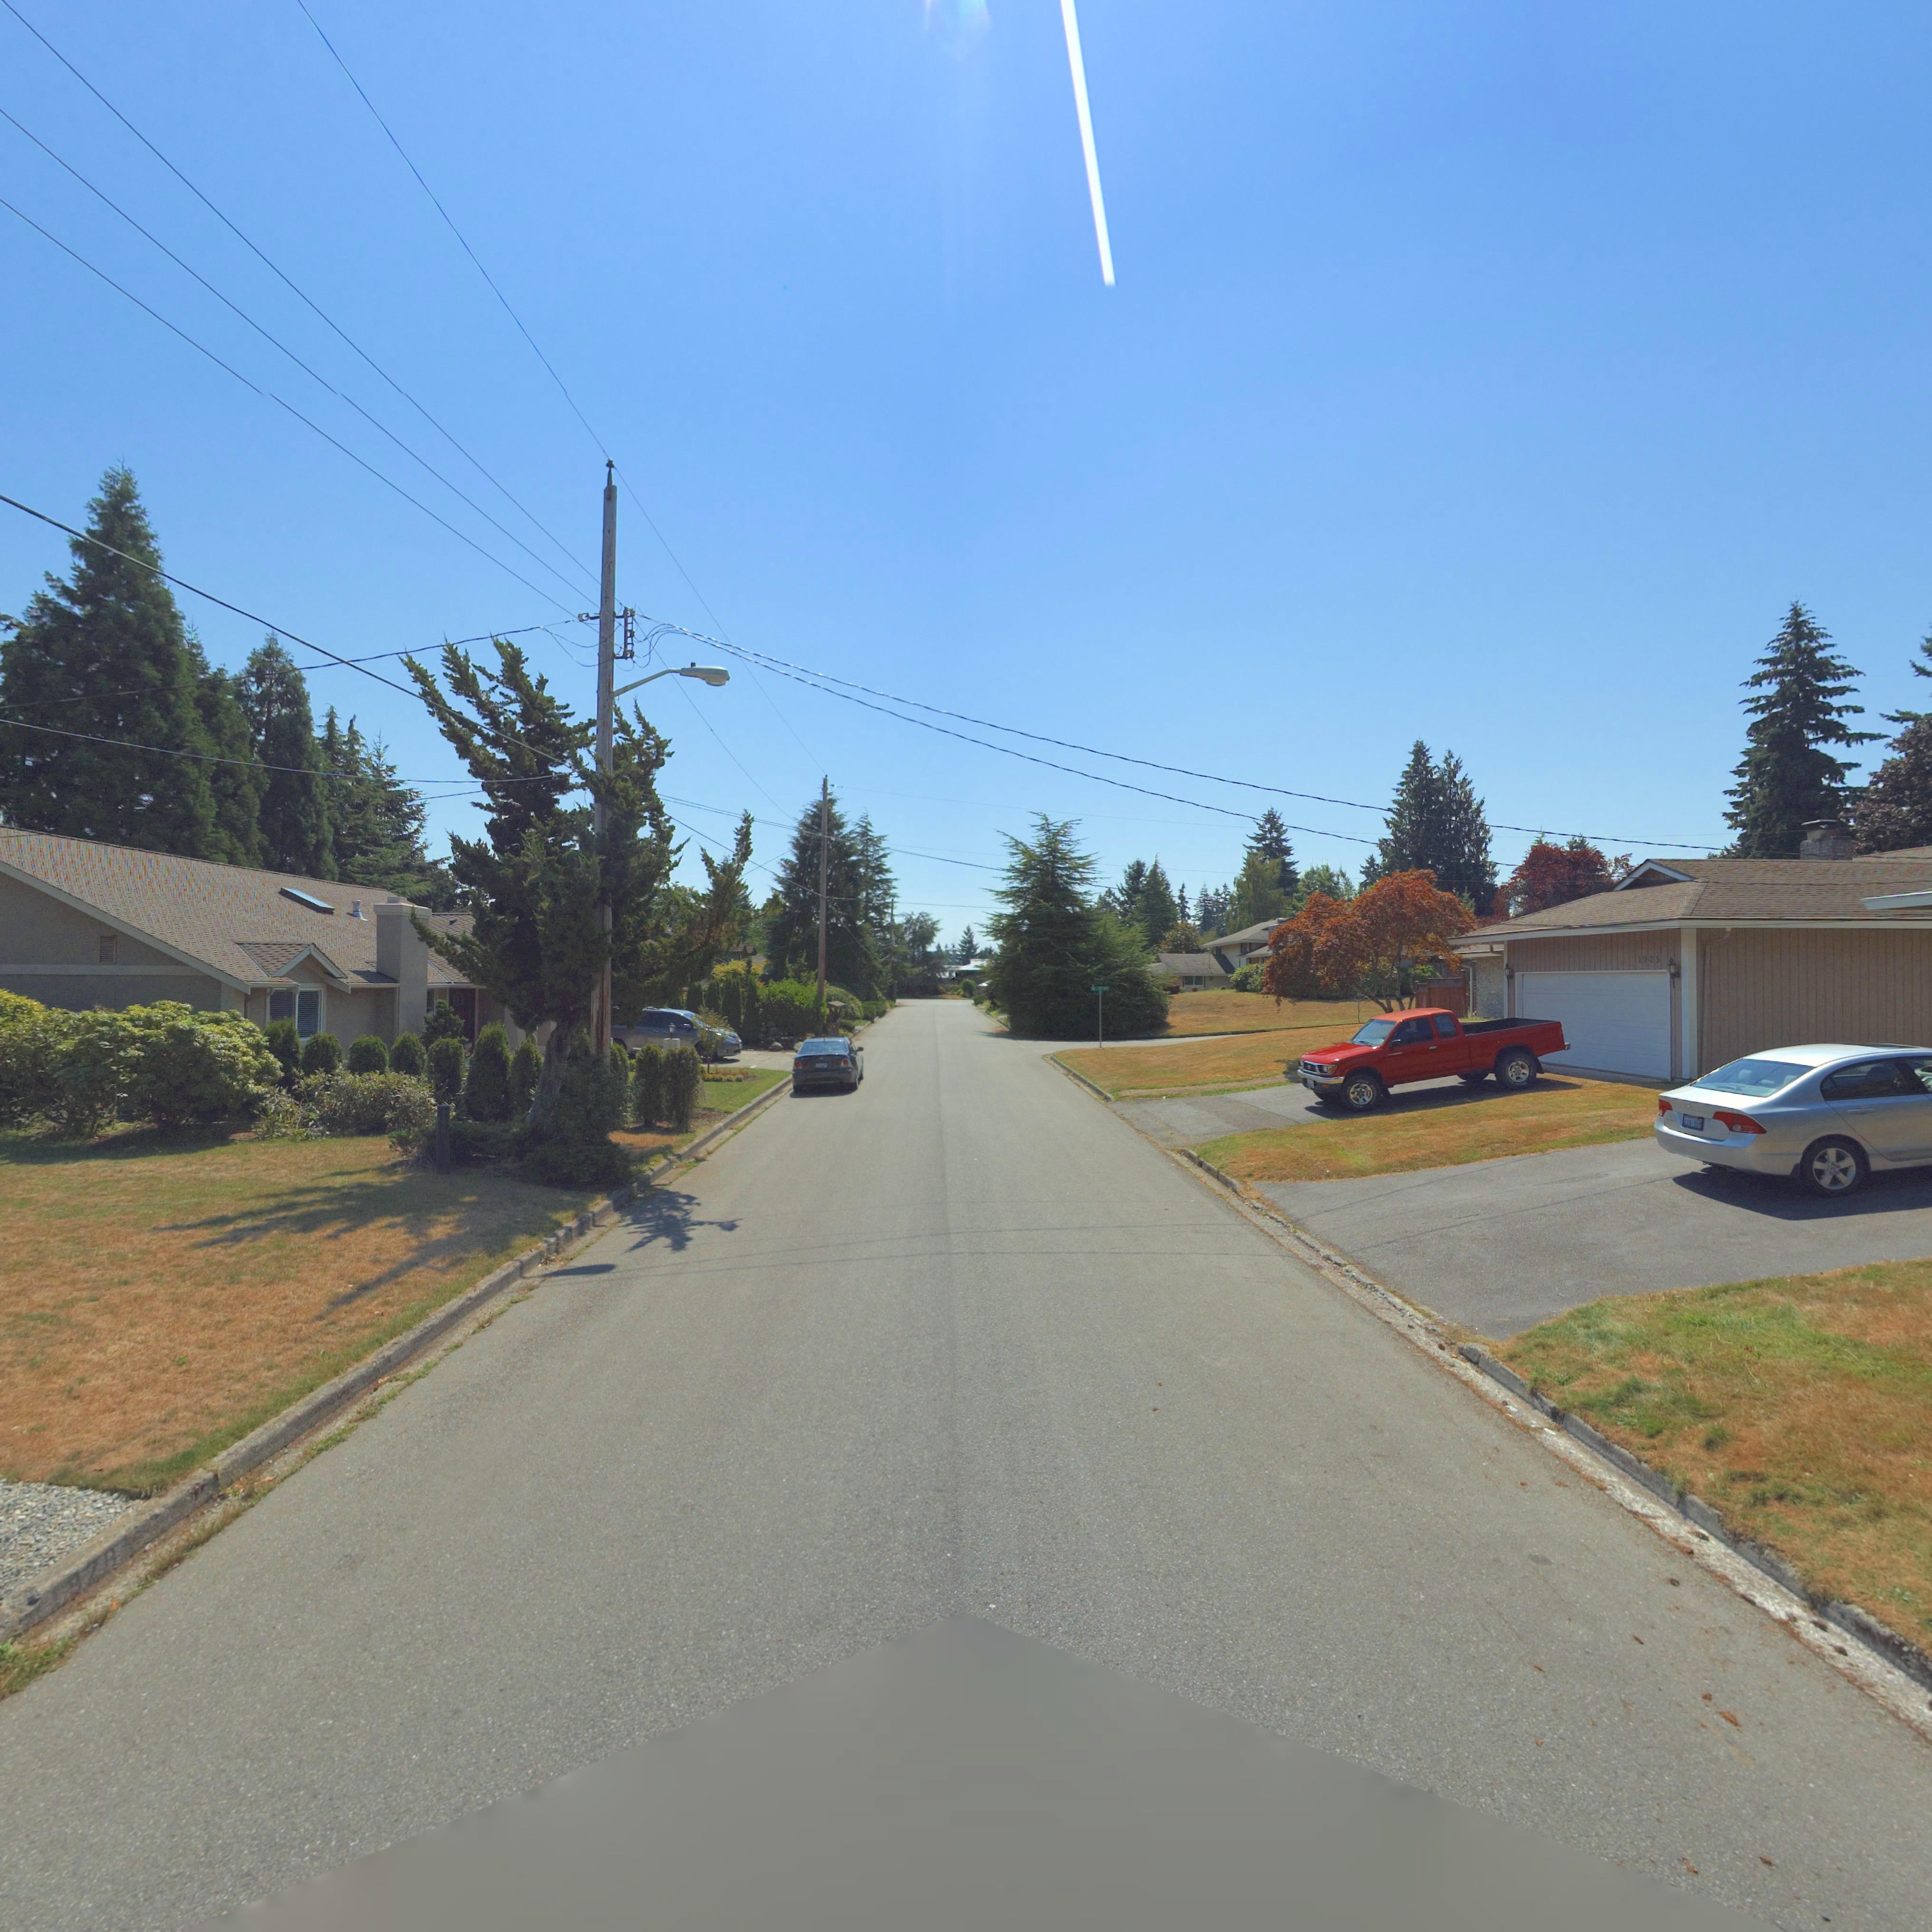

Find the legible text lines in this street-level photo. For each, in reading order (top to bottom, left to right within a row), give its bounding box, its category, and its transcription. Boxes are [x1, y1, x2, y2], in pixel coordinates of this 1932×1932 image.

[1638, 956, 1660, 964] StreetNumber: 1905